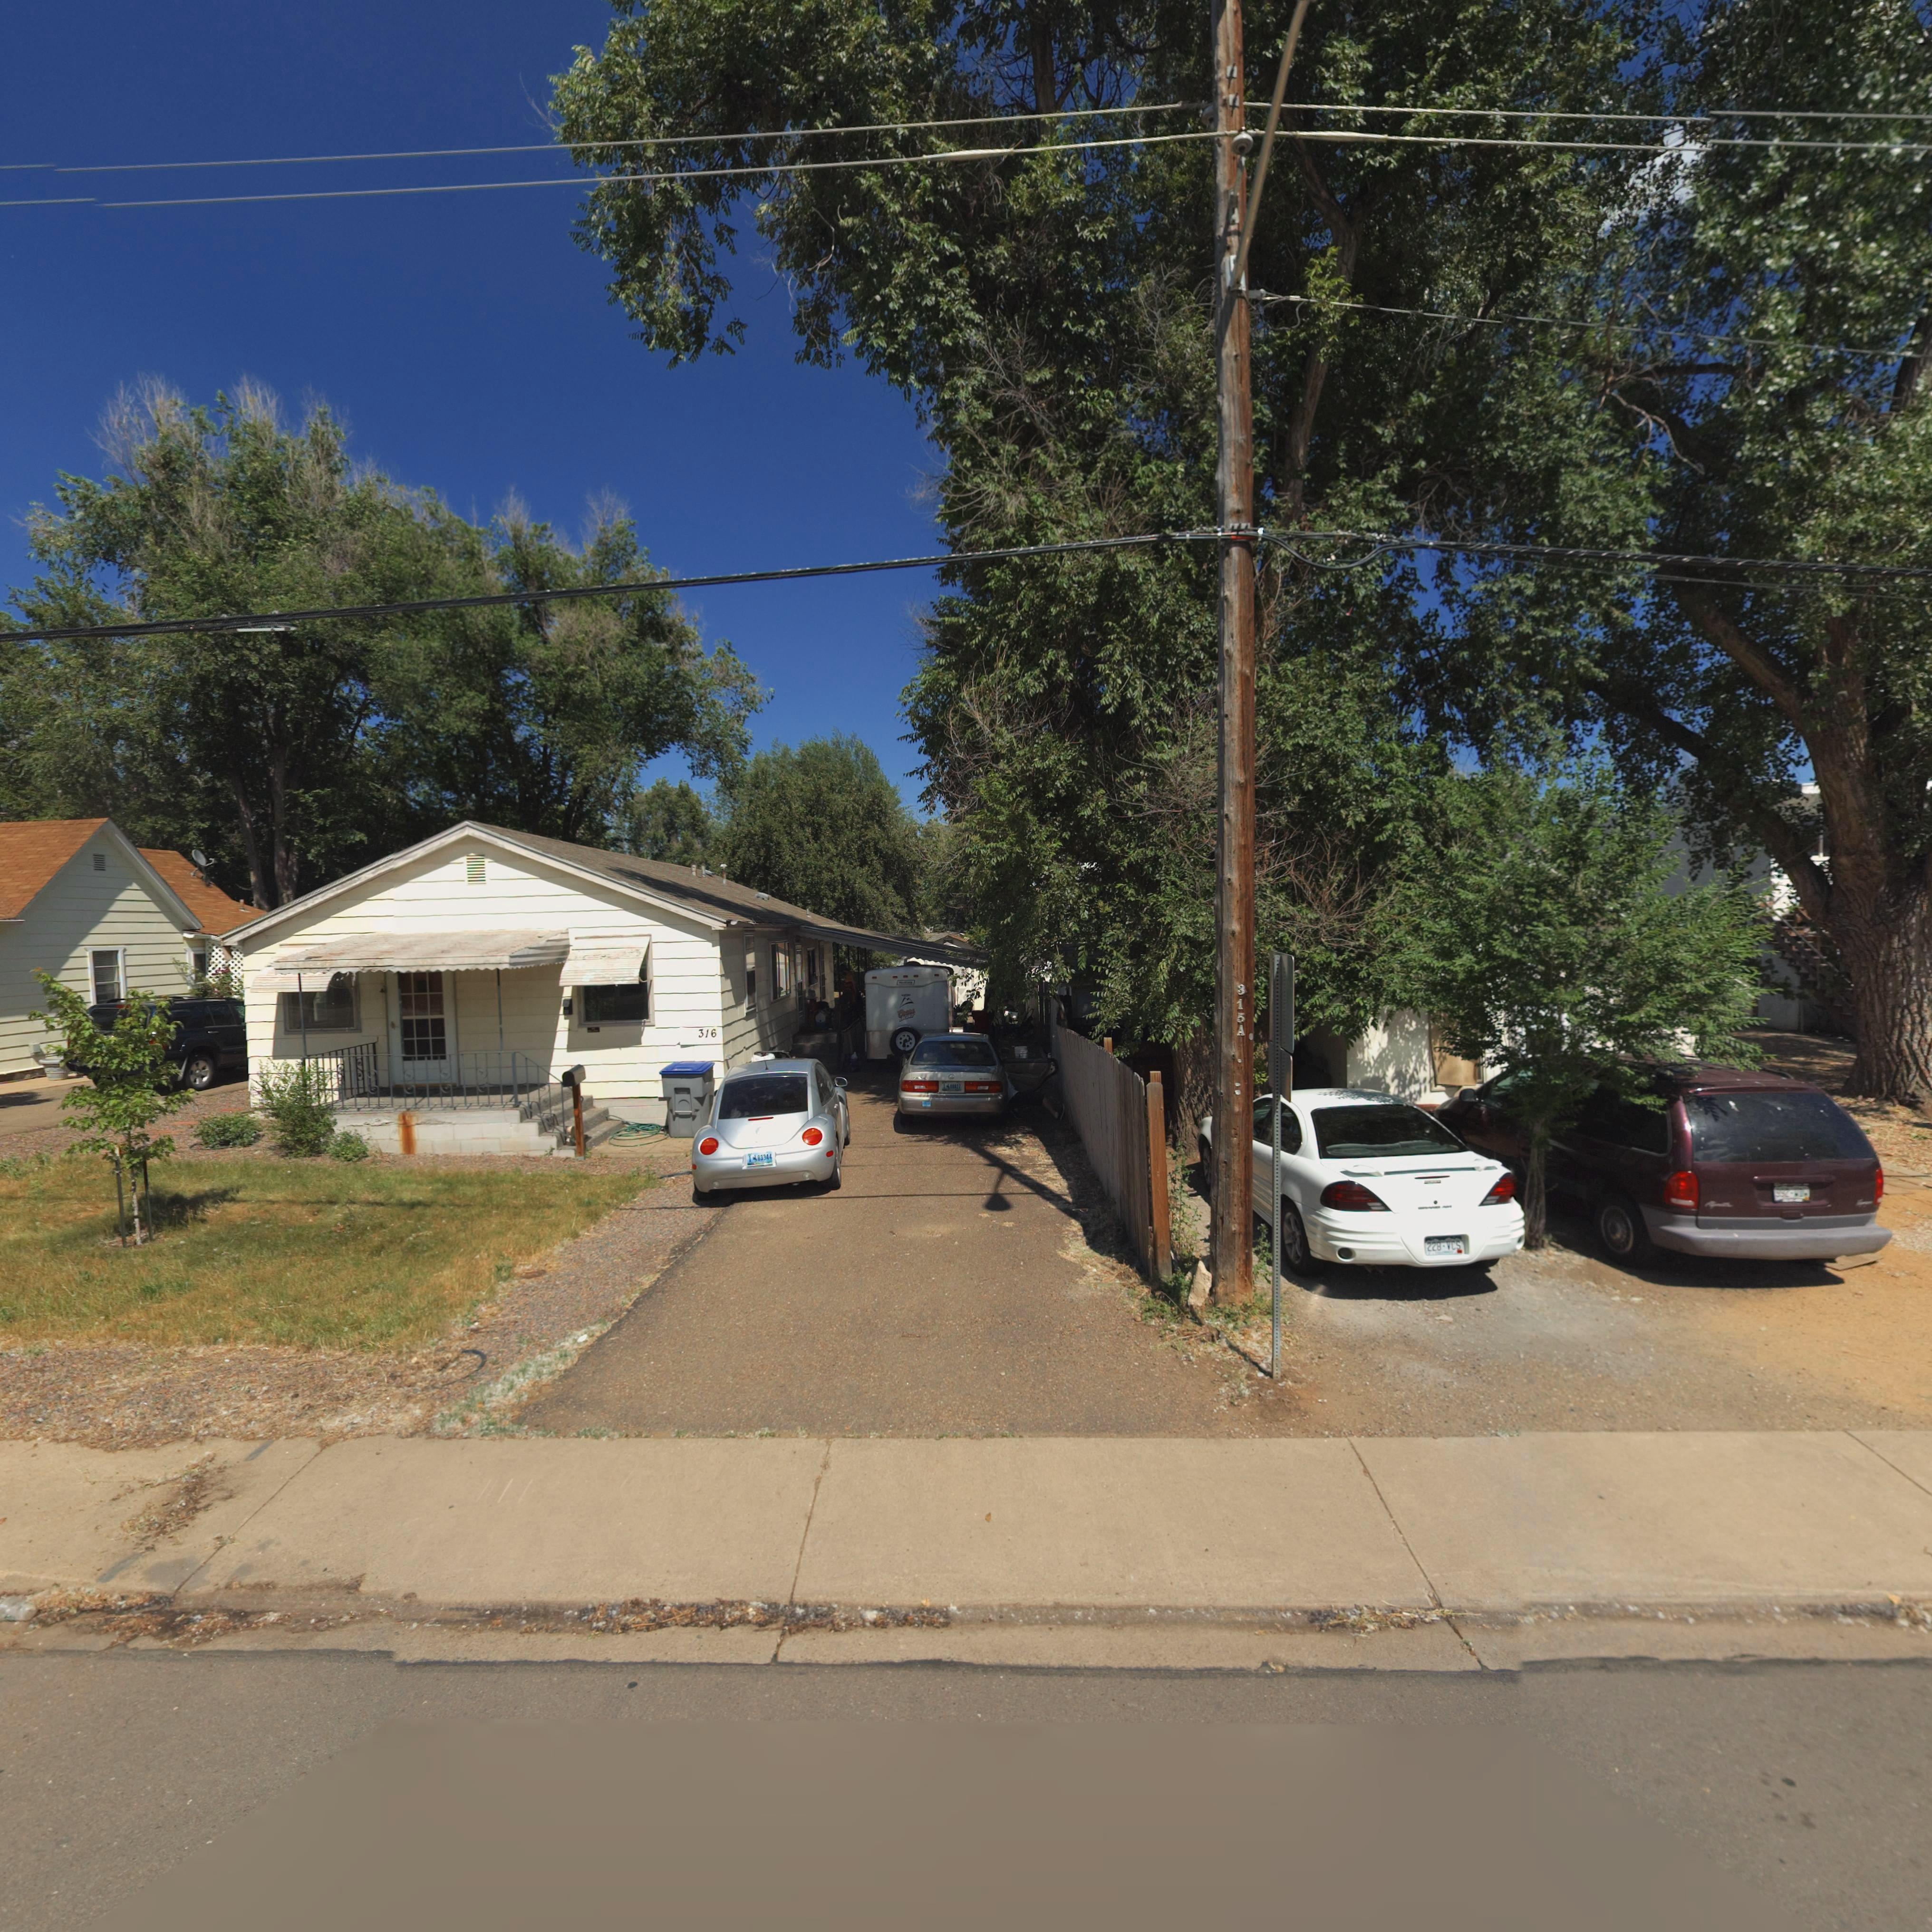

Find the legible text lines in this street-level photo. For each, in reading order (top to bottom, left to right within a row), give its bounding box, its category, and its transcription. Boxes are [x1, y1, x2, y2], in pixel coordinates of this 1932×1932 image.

[698, 1028, 717, 1038] StreetNumber: 316
[1235, 983, 1245, 1036] StreetNumber: 315A